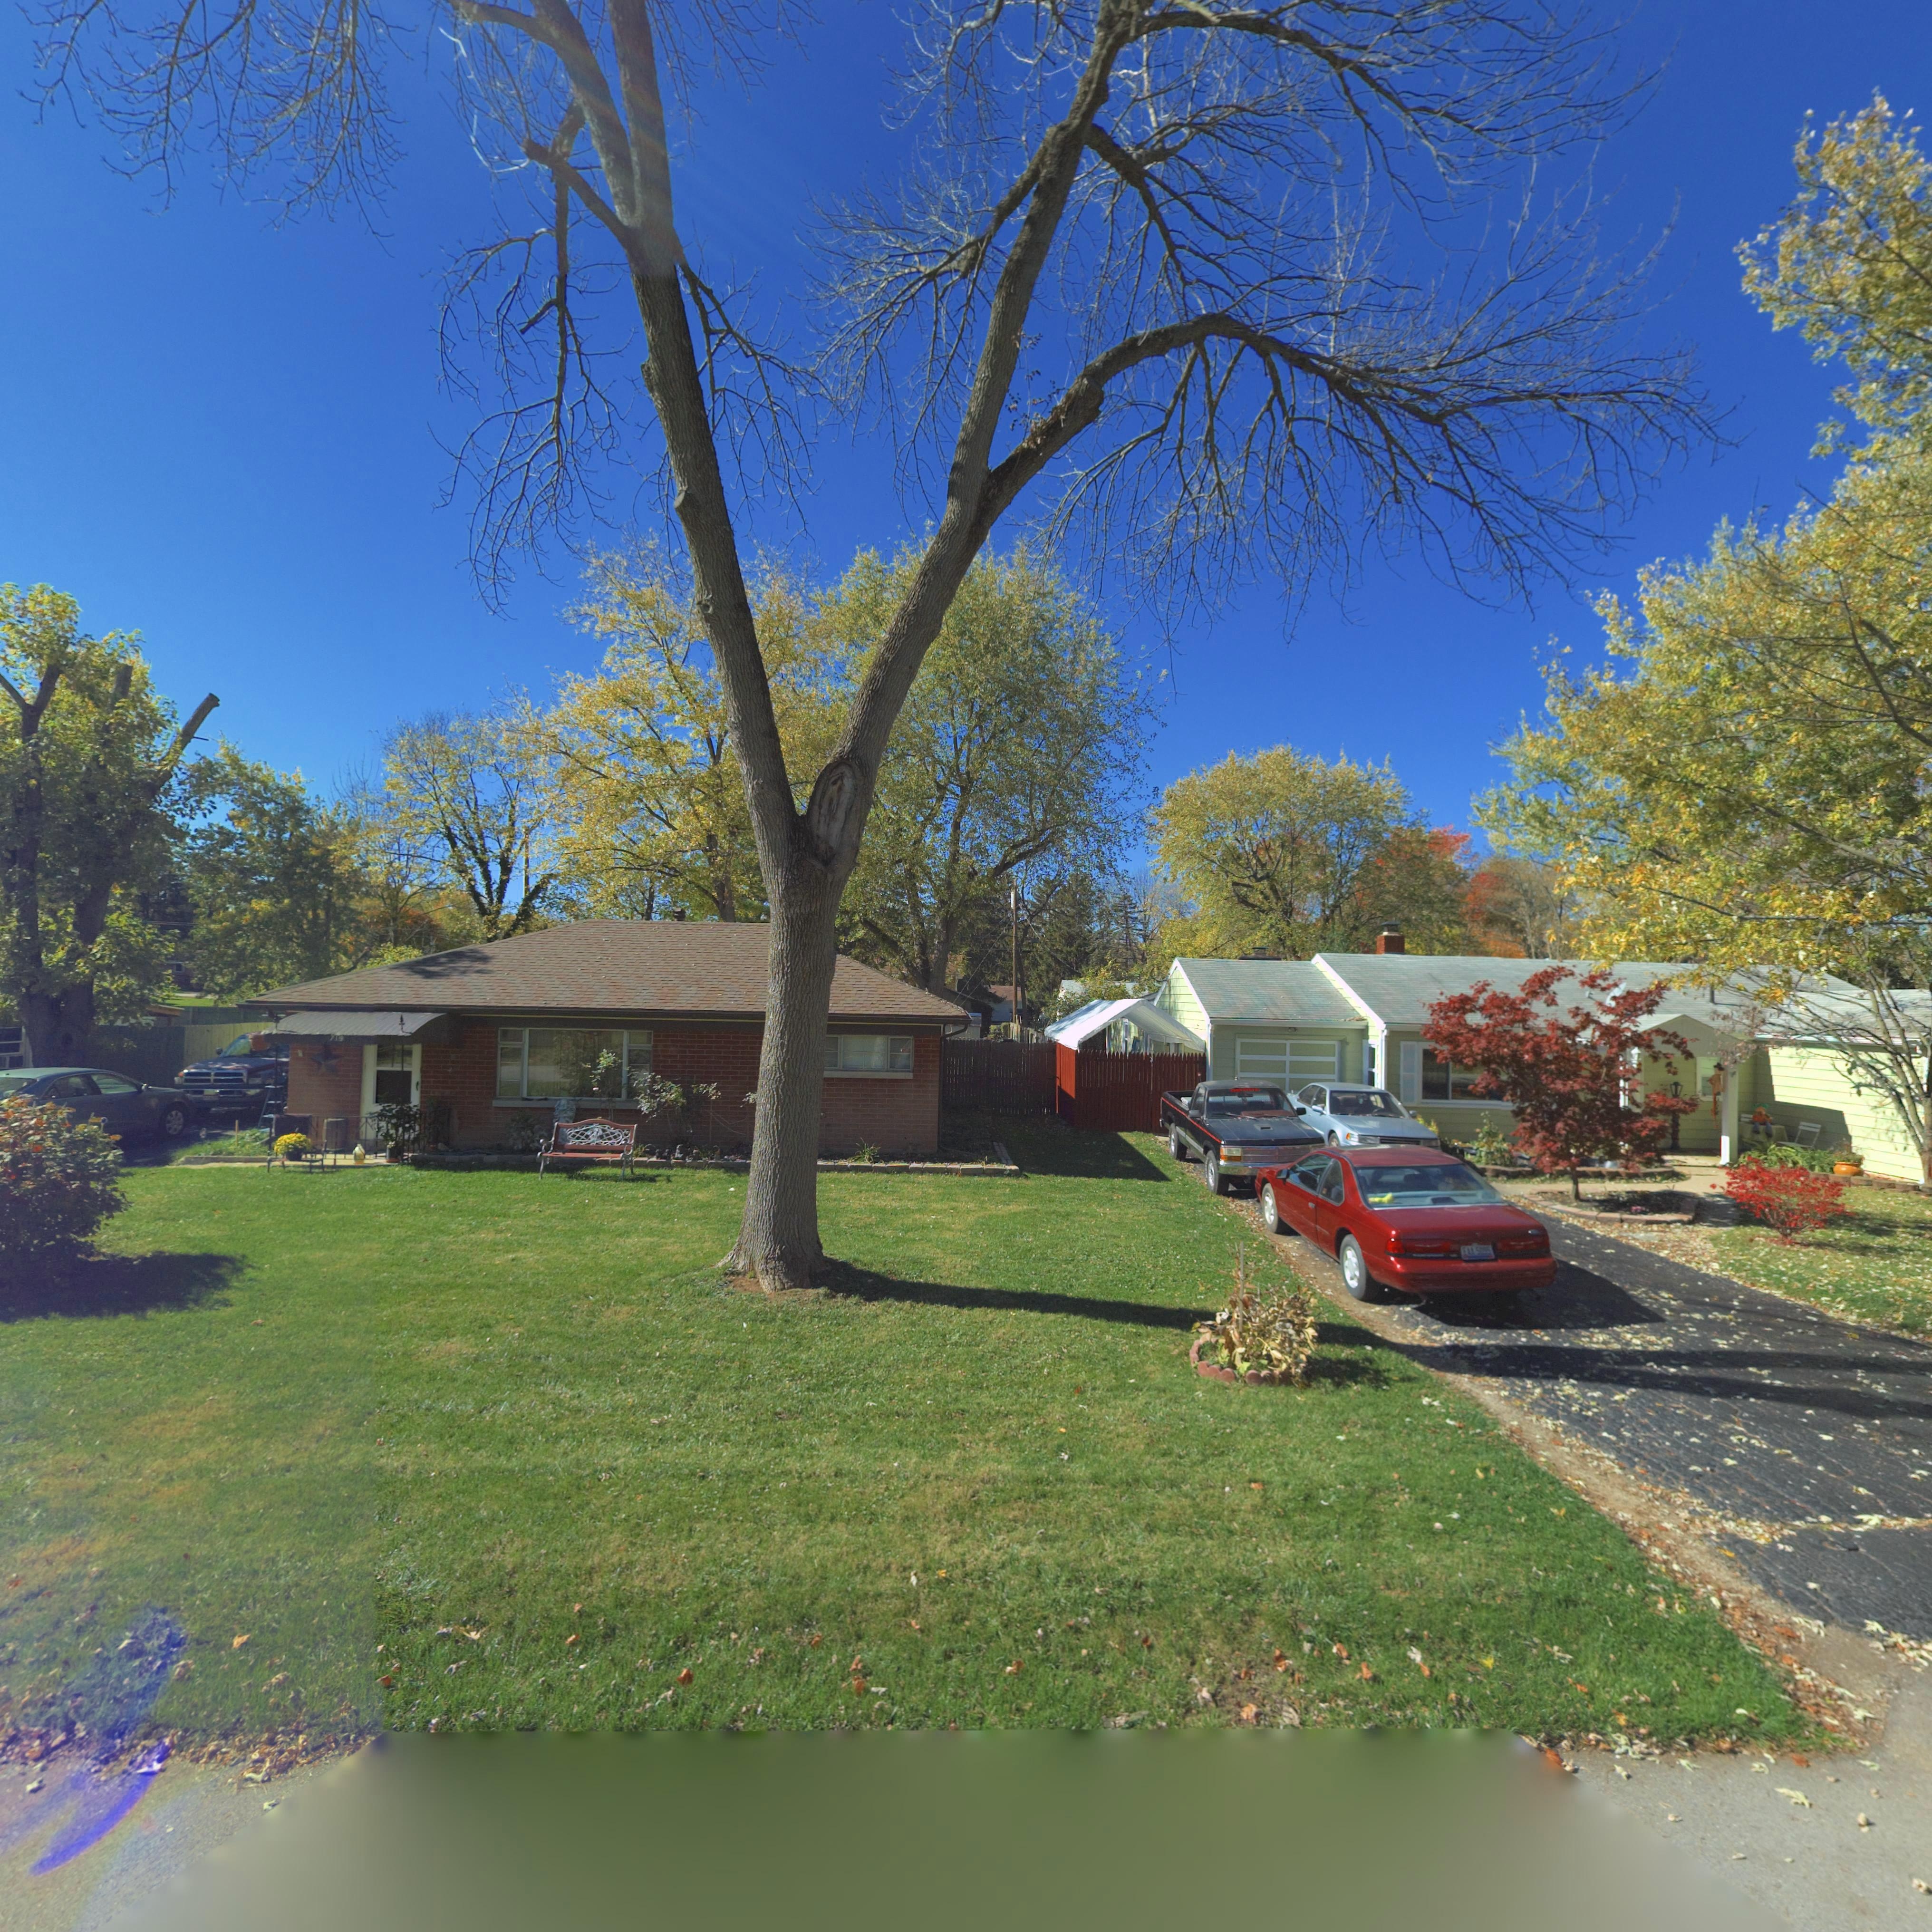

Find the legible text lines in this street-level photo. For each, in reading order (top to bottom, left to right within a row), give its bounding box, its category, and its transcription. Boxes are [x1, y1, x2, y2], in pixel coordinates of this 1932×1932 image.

[328, 1034, 344, 1042] StreetNumber: 719